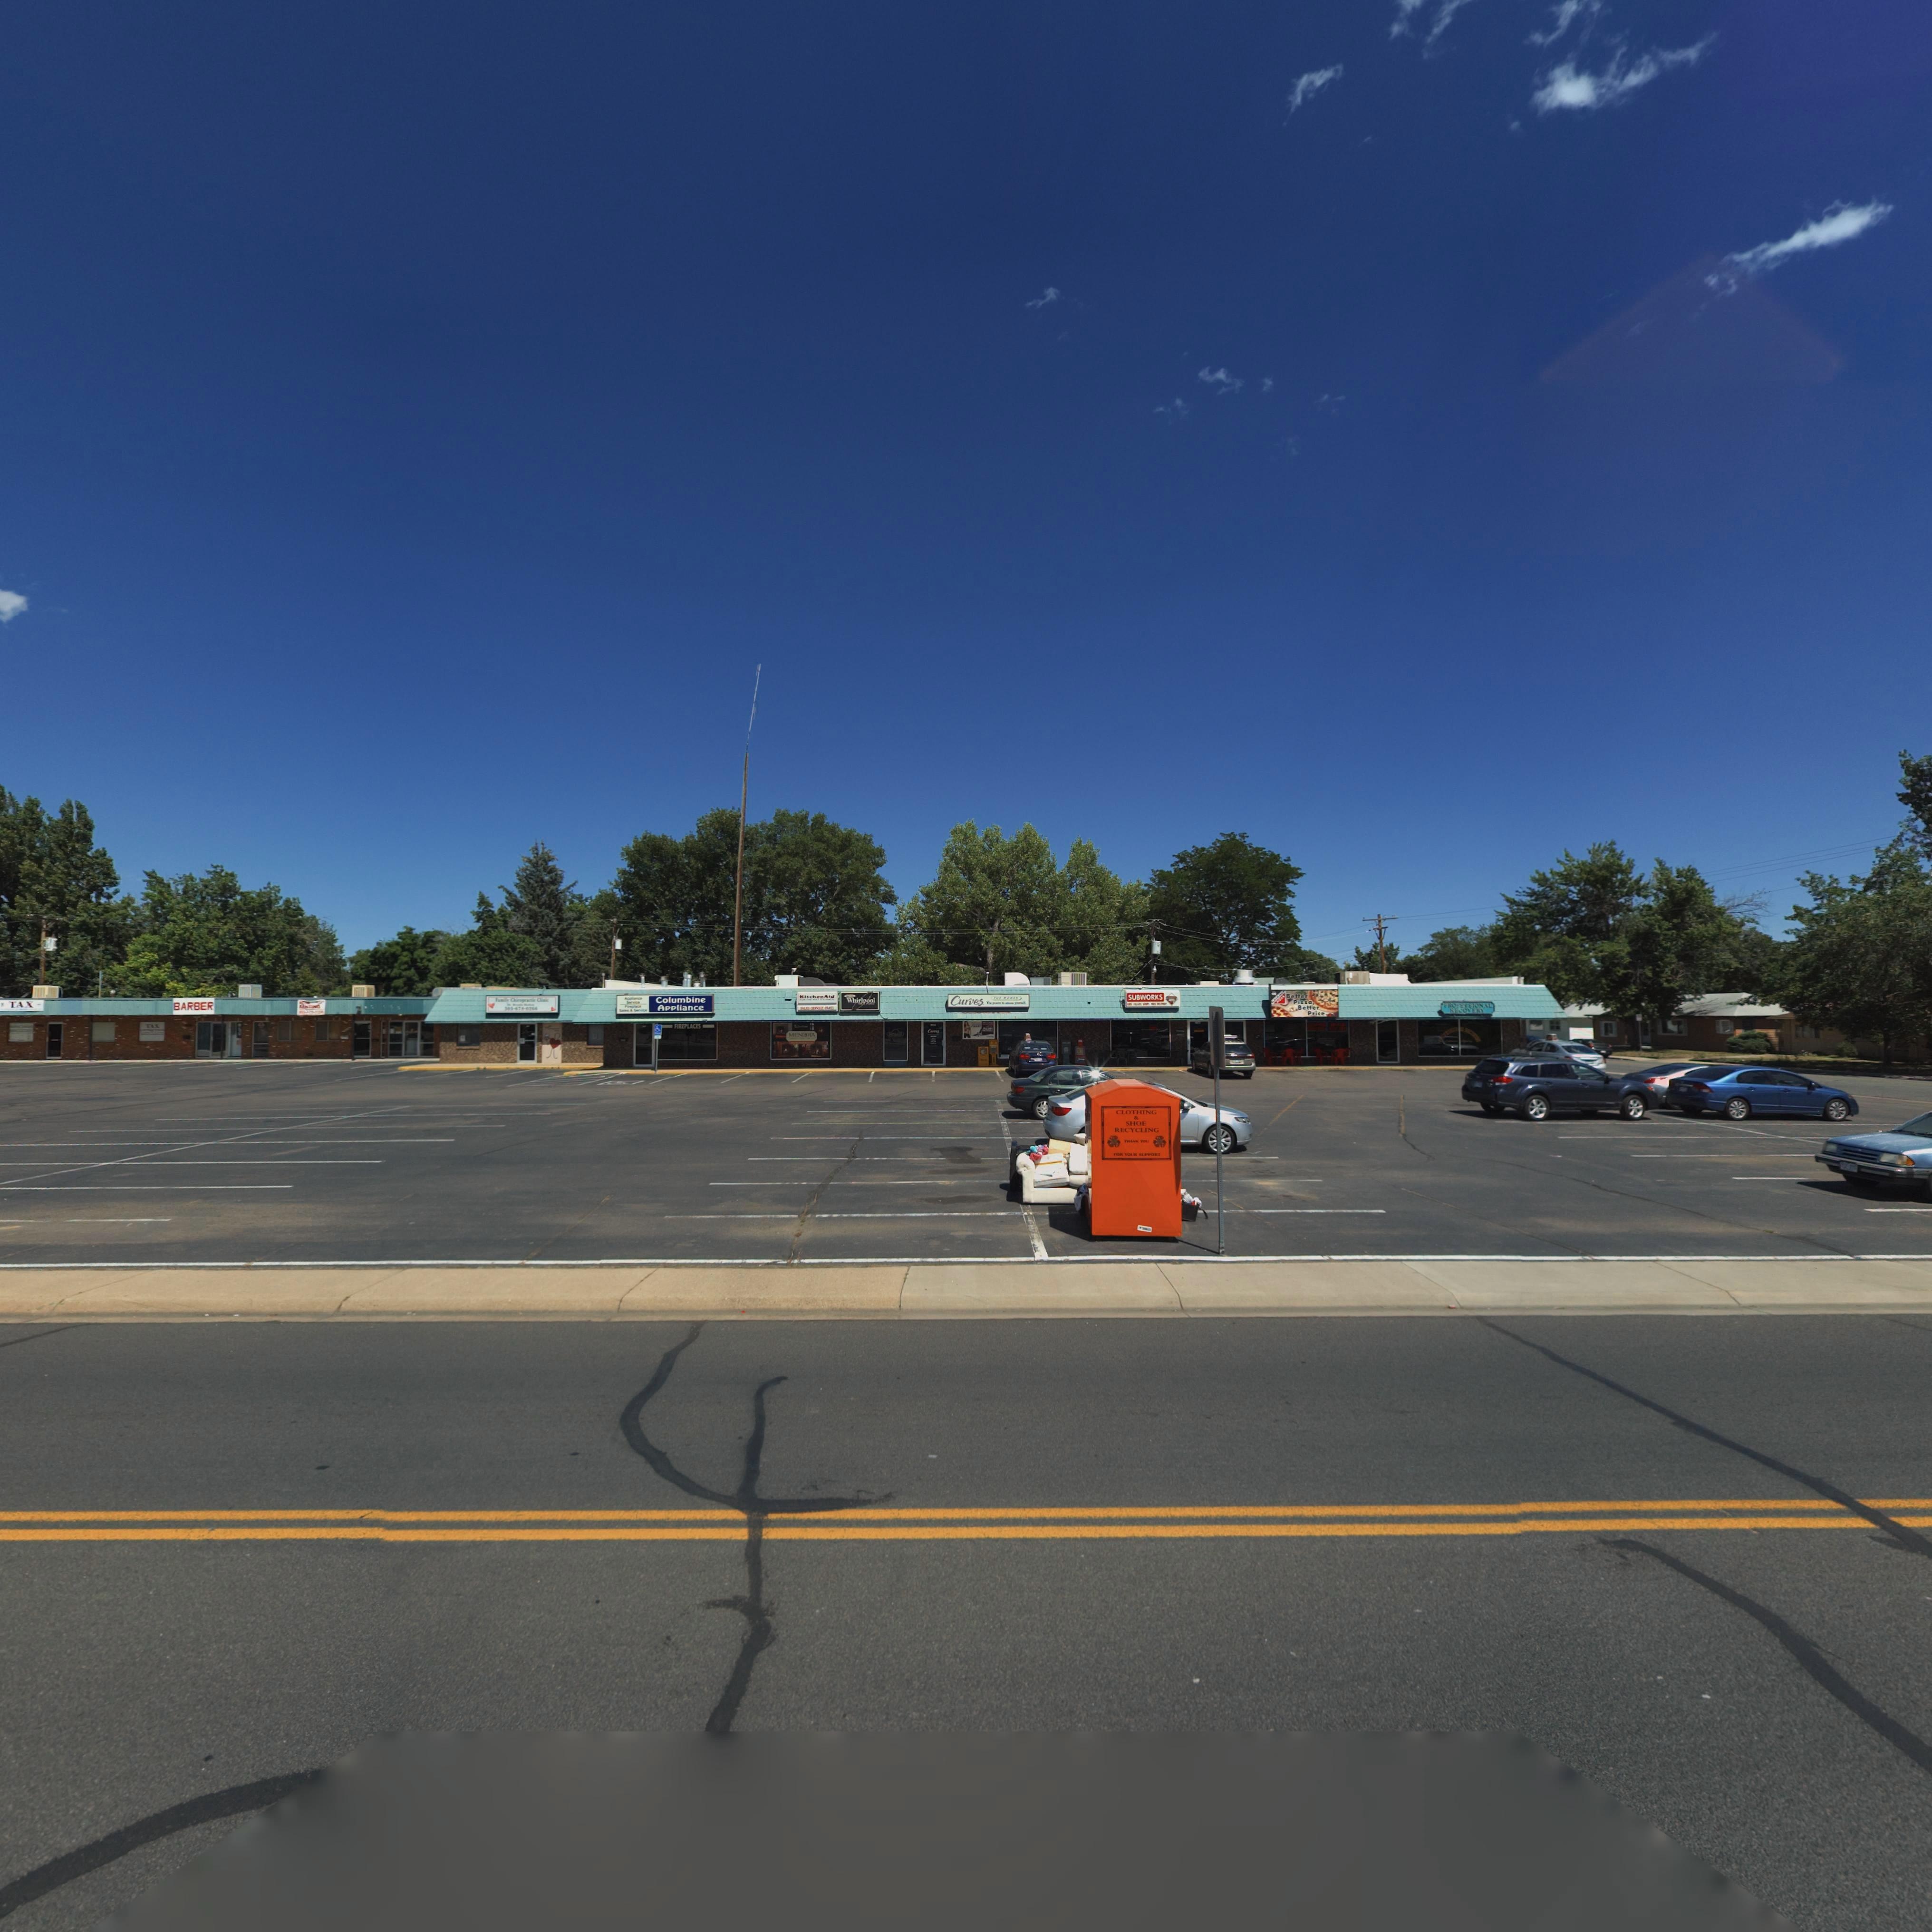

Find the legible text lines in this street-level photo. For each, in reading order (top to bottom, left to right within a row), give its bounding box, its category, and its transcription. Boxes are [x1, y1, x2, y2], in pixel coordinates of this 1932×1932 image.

[494, 996, 550, 1002] BusinessName: Family Chiropractic Clinic
[655, 996, 706, 1004] BusinessName: Columbine
[950, 995, 984, 1006] BusinessName: Curves
[1128, 994, 1163, 1000] BusinessName: SUBWORKS
[9, 1001, 34, 1008] BusinessName: TAX
[657, 1005, 704, 1011] BusinessName: Appliance
[1449, 1007, 1485, 1013] BusinessName: RECOVERY
[1444, 1003, 1492, 1008] BusinessName: PROFESSIONAL
[927, 1028, 939, 1033] BusinessName: Curves